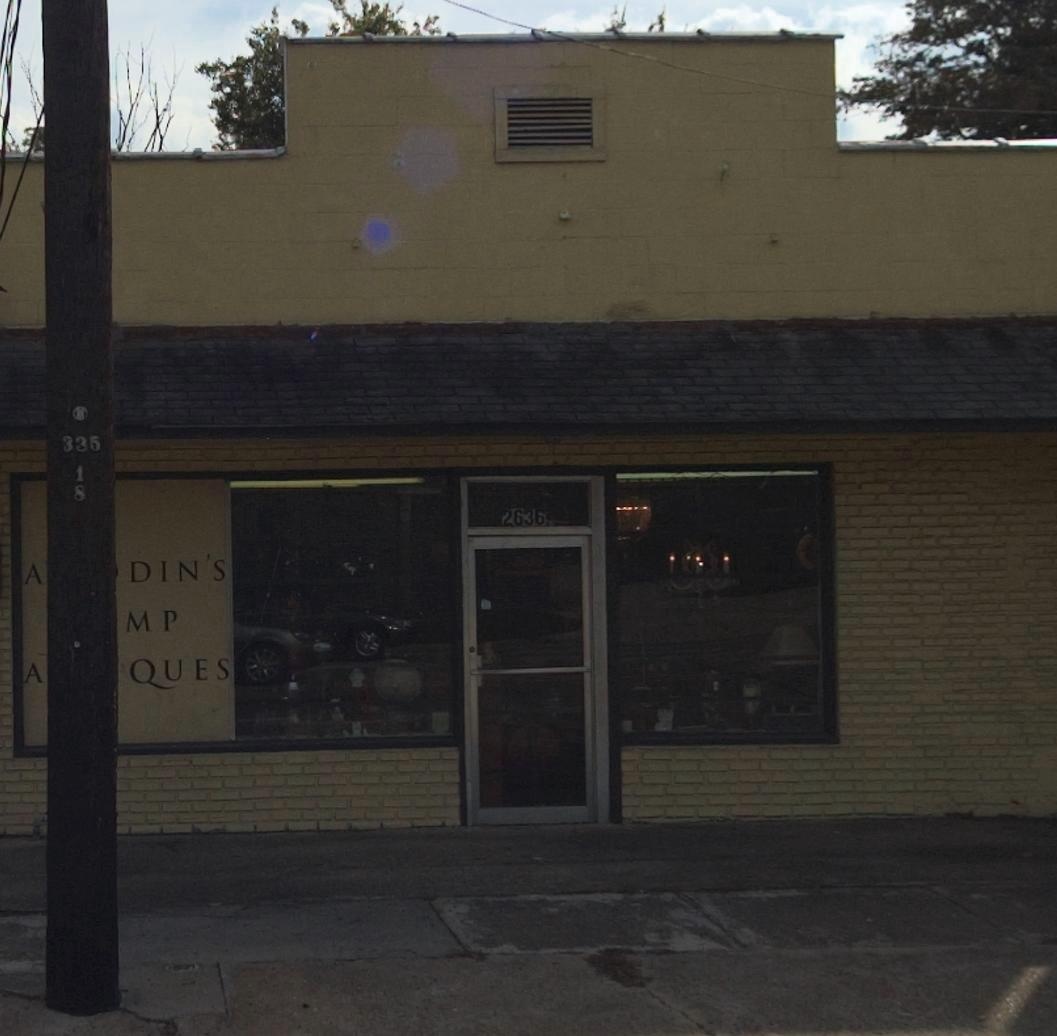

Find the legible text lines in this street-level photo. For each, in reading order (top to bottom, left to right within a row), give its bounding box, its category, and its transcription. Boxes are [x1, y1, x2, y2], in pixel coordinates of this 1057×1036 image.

[58, 433, 104, 454] None: 335
[72, 460, 88, 505] None: 18
[500, 504, 548, 529] StreetNumber: 2636
[24, 551, 228, 587] BusinessName: A***DIN'S
[119, 607, 184, 637] BusinessName: MP
[23, 656, 231, 691] BusinessName: A***QUES